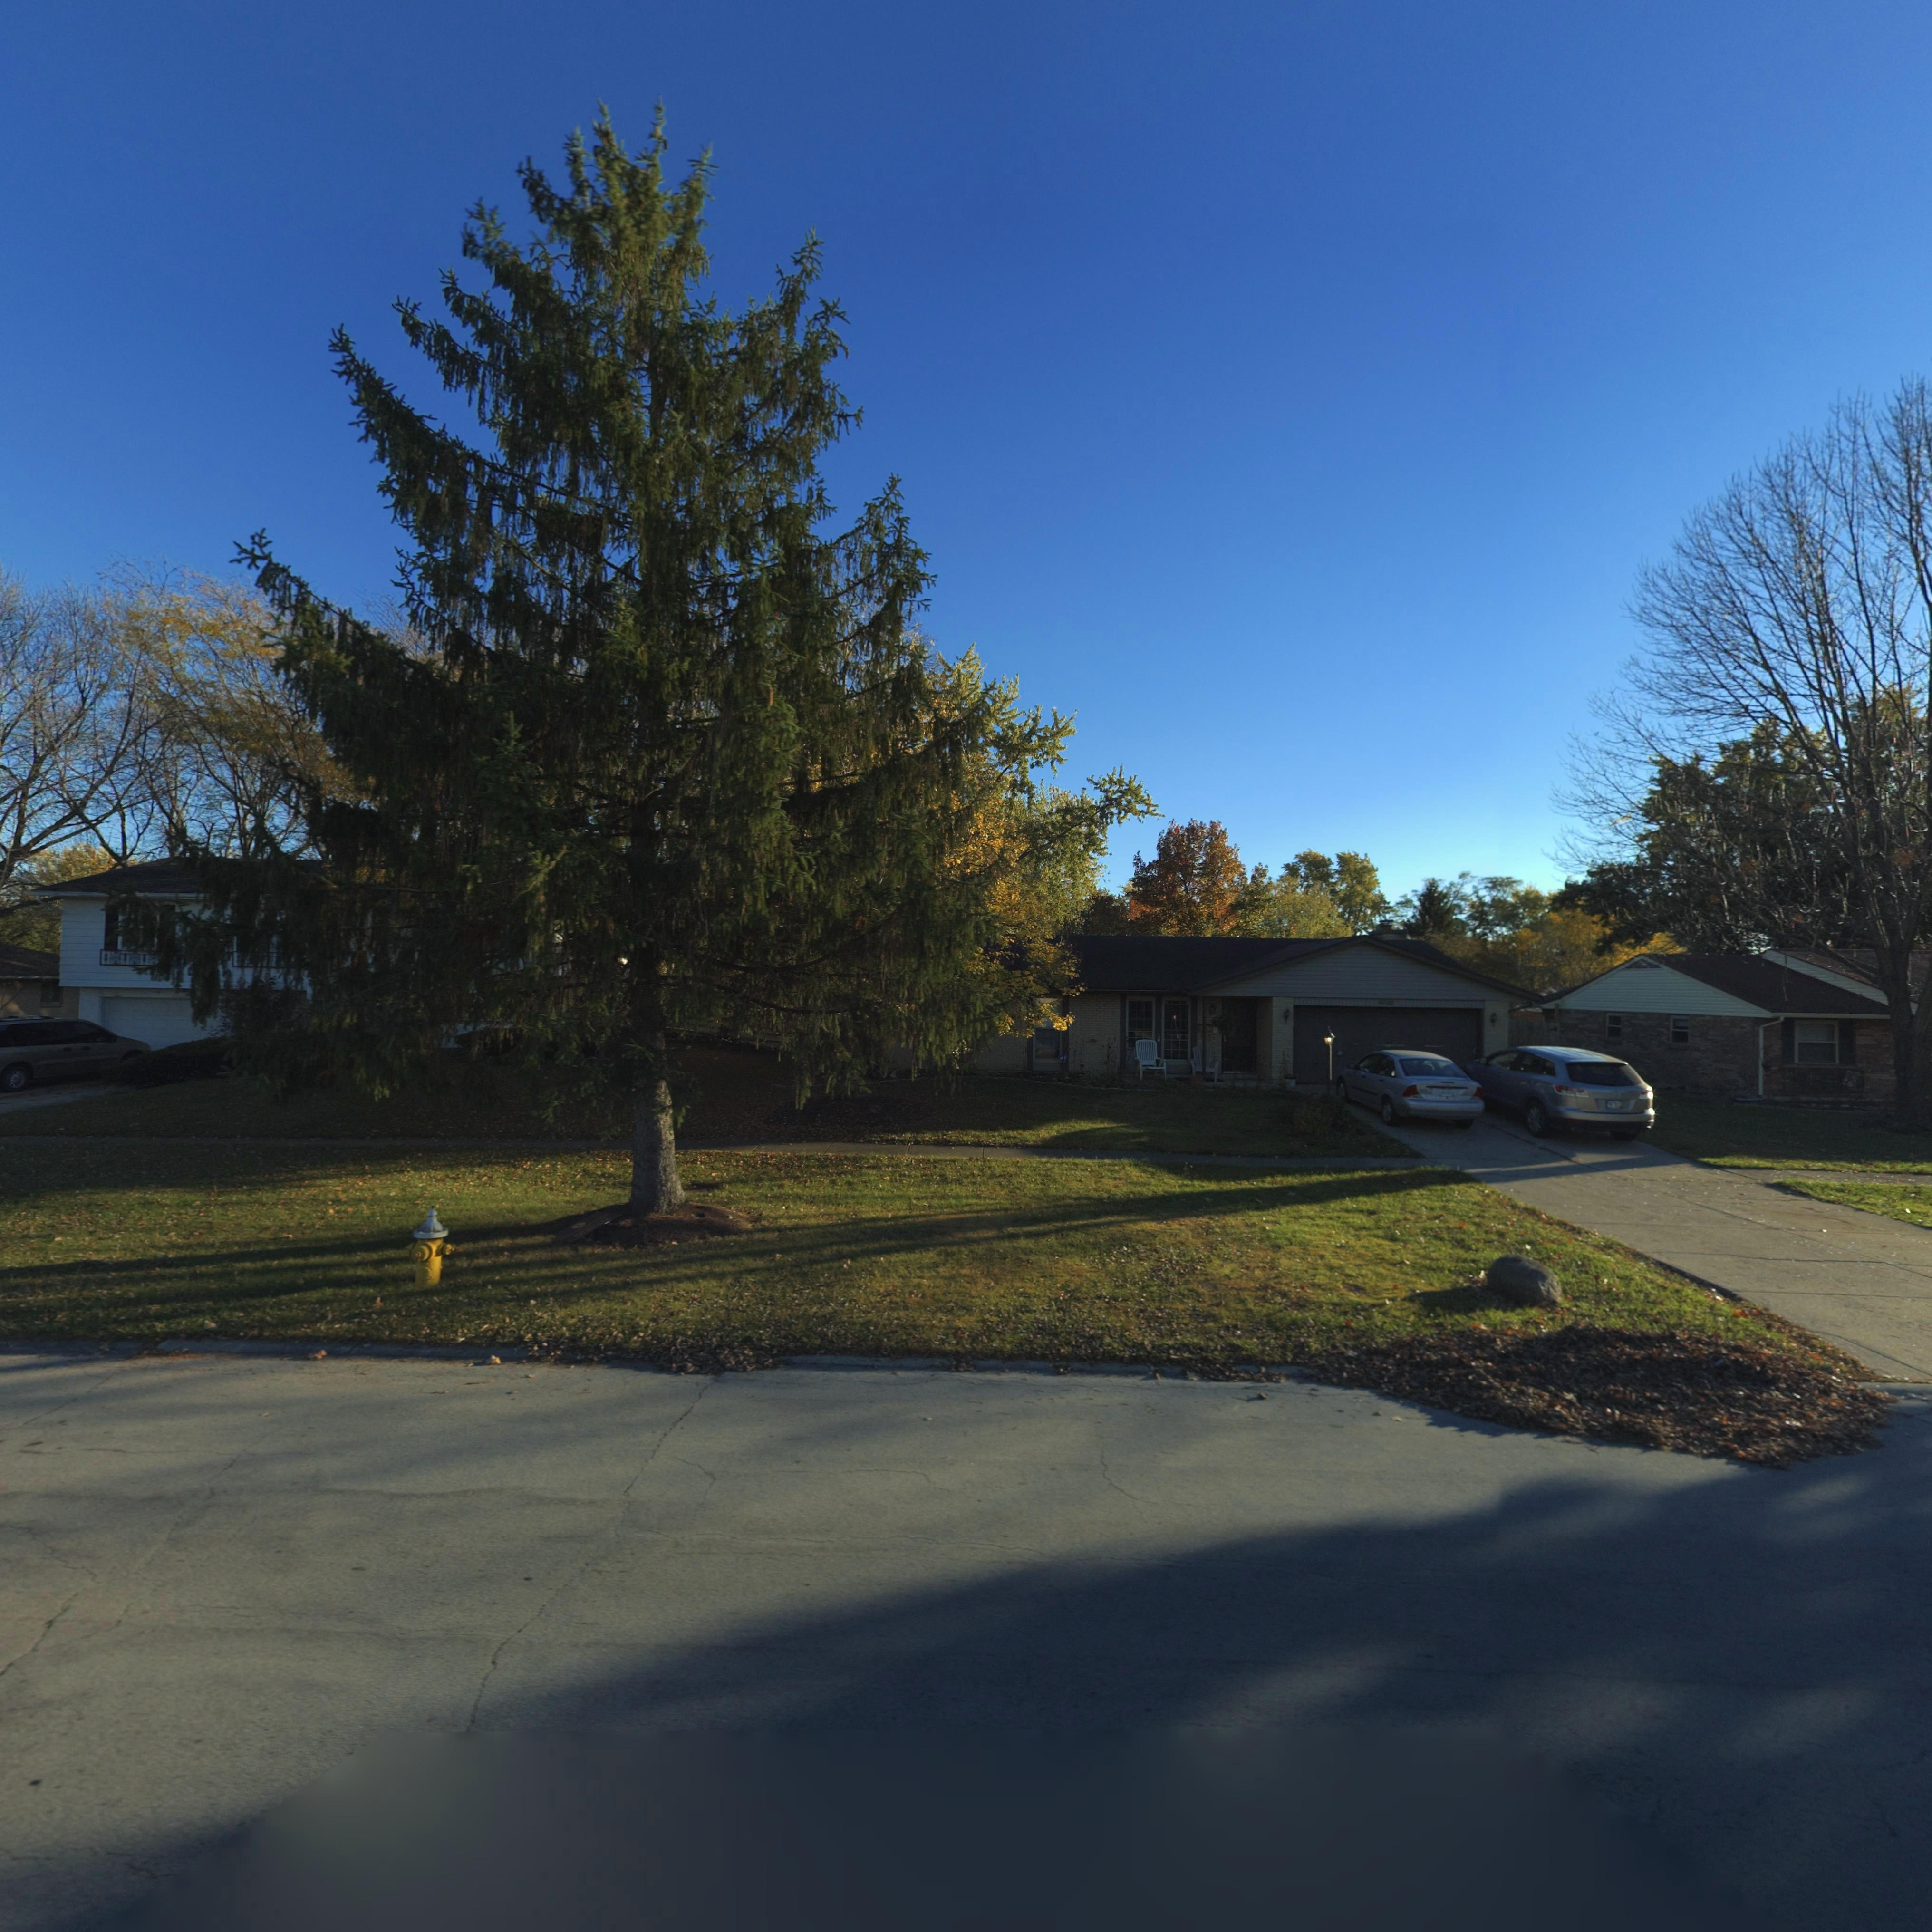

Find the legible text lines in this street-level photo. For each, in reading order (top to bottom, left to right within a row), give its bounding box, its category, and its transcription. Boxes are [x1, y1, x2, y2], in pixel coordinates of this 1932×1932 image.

[1378, 999, 1393, 1005] StreetNumber: 4*2*